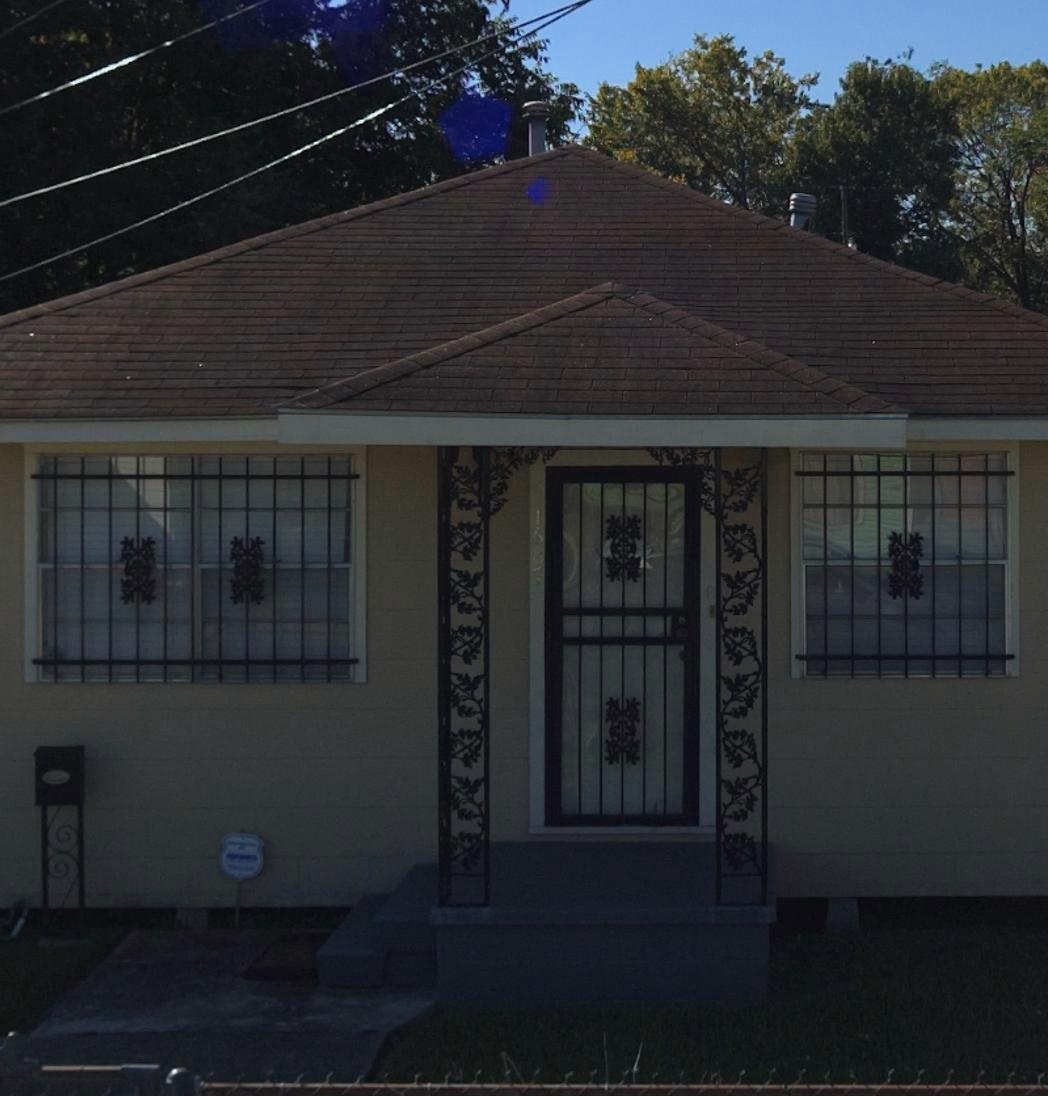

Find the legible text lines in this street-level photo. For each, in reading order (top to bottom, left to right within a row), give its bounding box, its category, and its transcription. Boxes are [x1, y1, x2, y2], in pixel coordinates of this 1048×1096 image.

[532, 507, 545, 586] StreetNumber: 1687